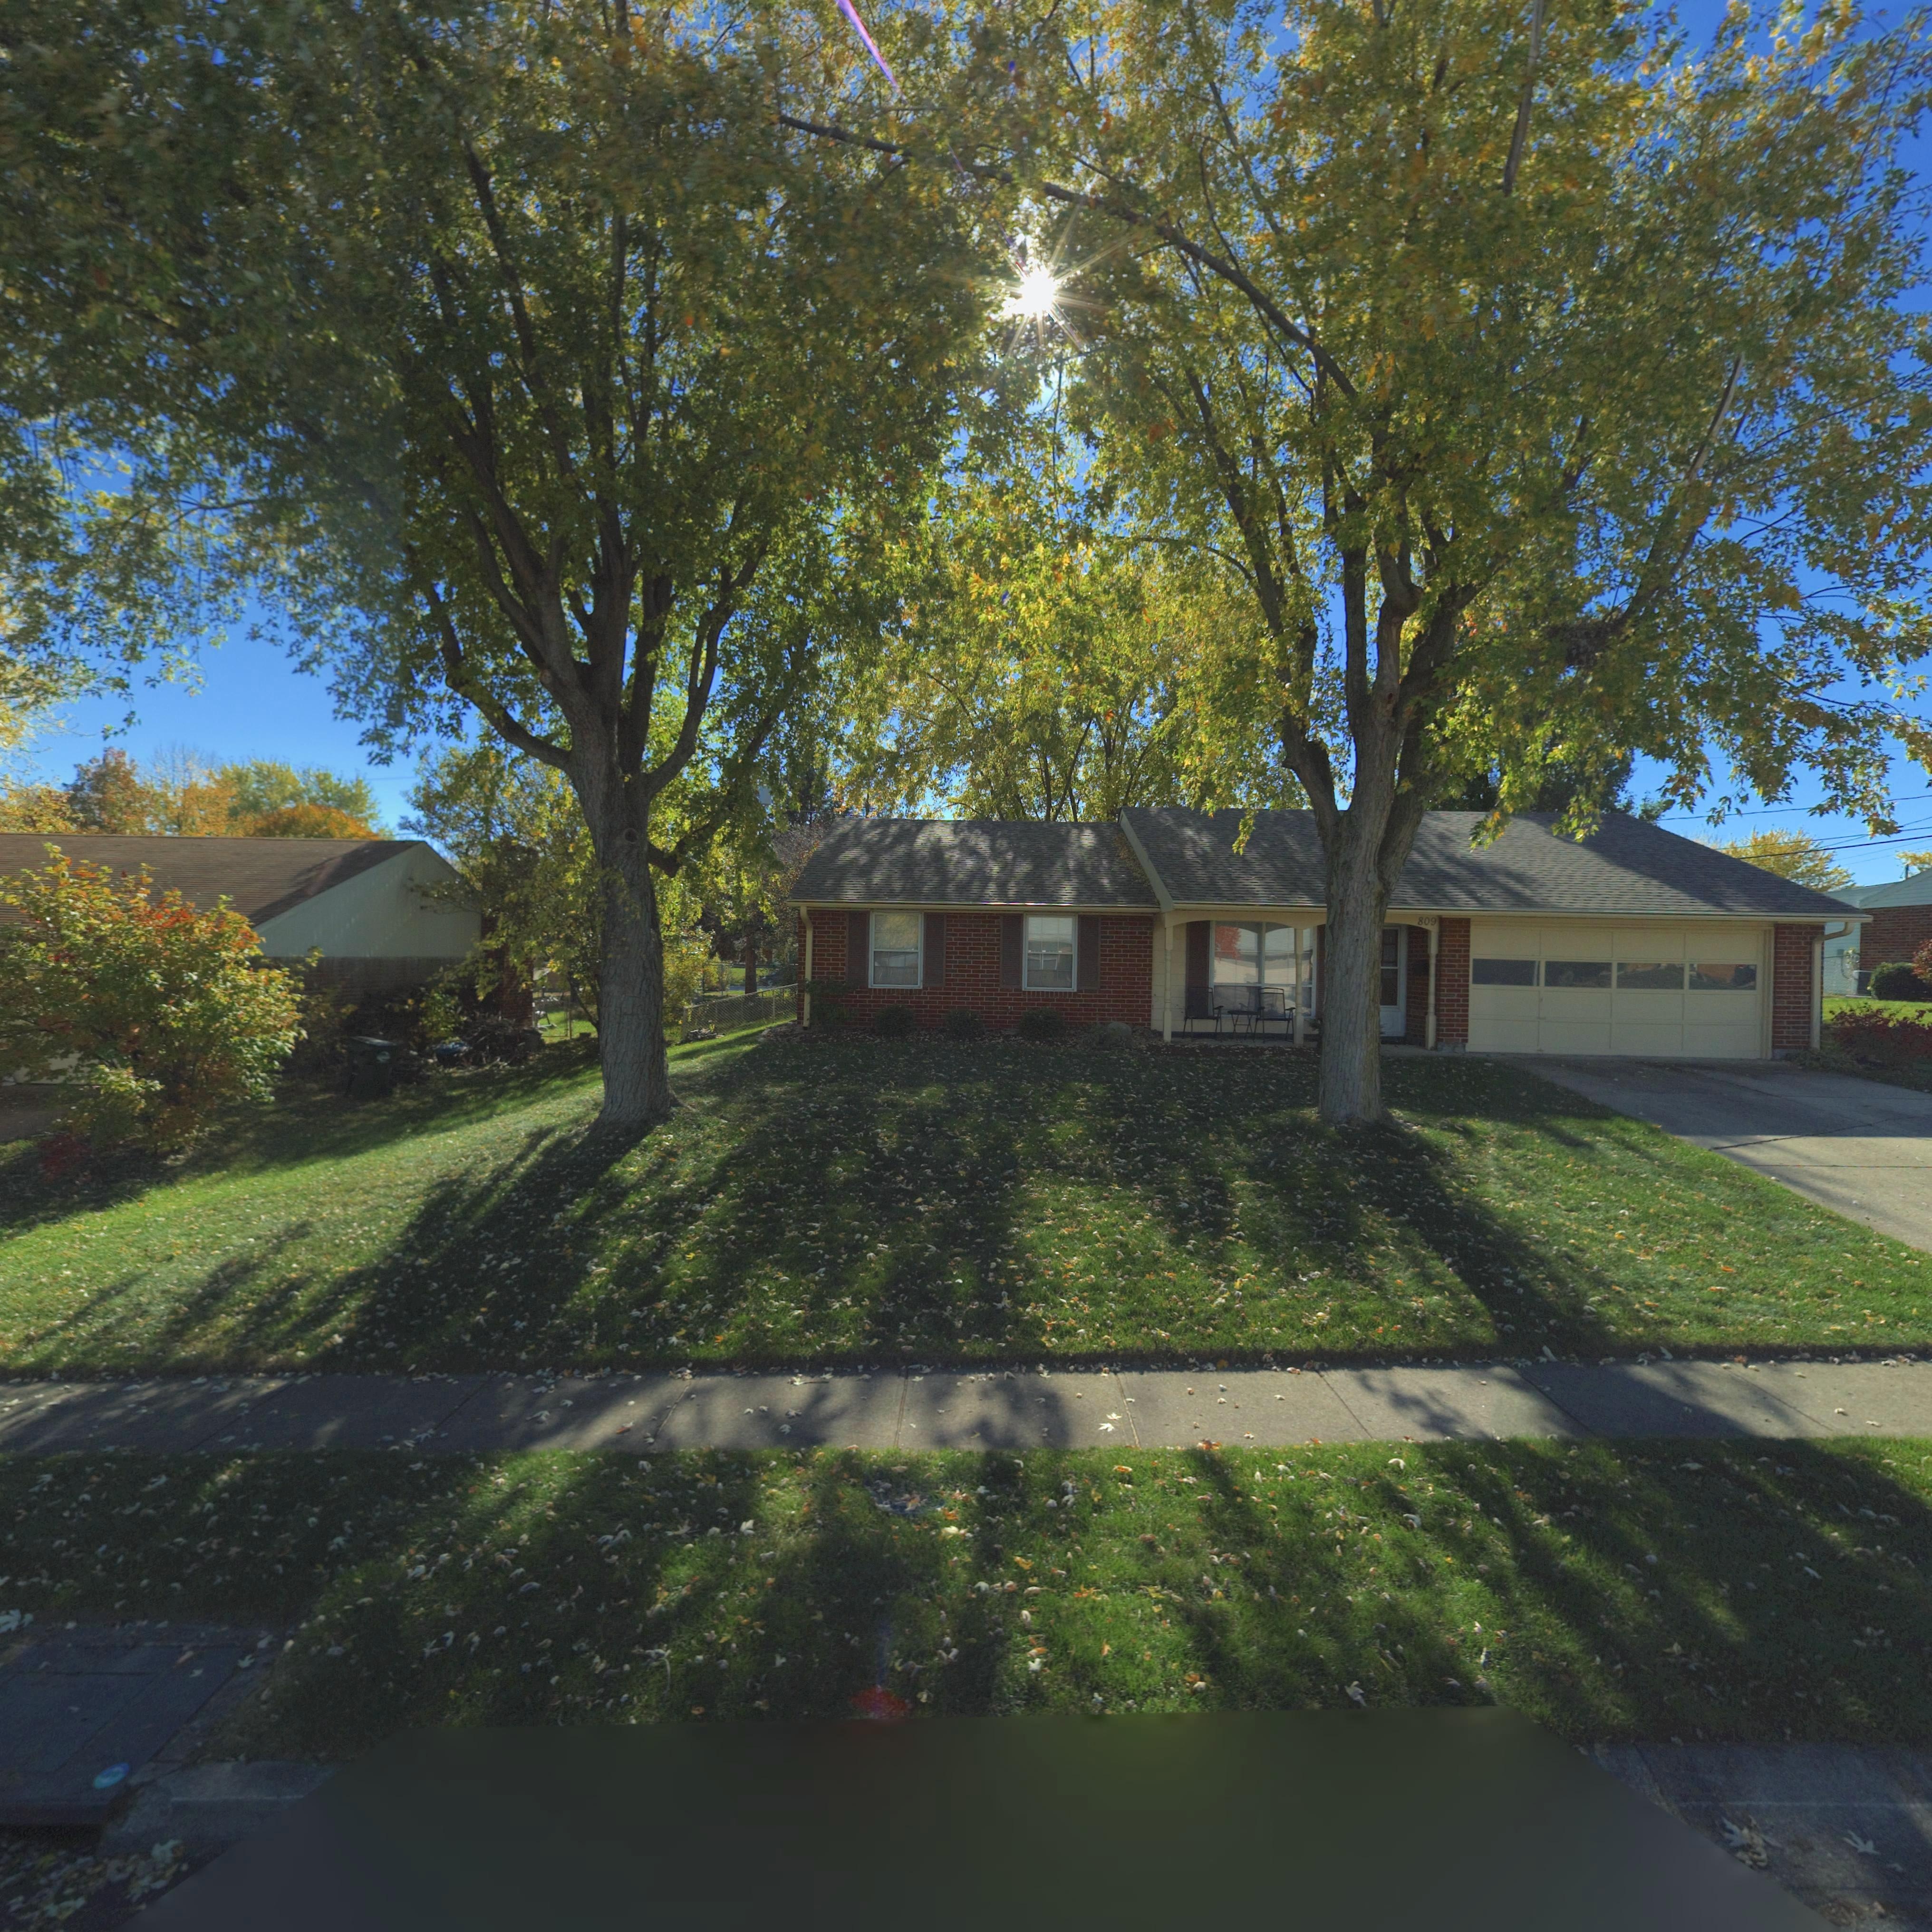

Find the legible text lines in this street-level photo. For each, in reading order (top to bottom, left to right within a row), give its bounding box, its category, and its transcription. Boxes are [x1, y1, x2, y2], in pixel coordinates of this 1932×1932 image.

[1417, 917, 1437, 926] StreetNumber: 809